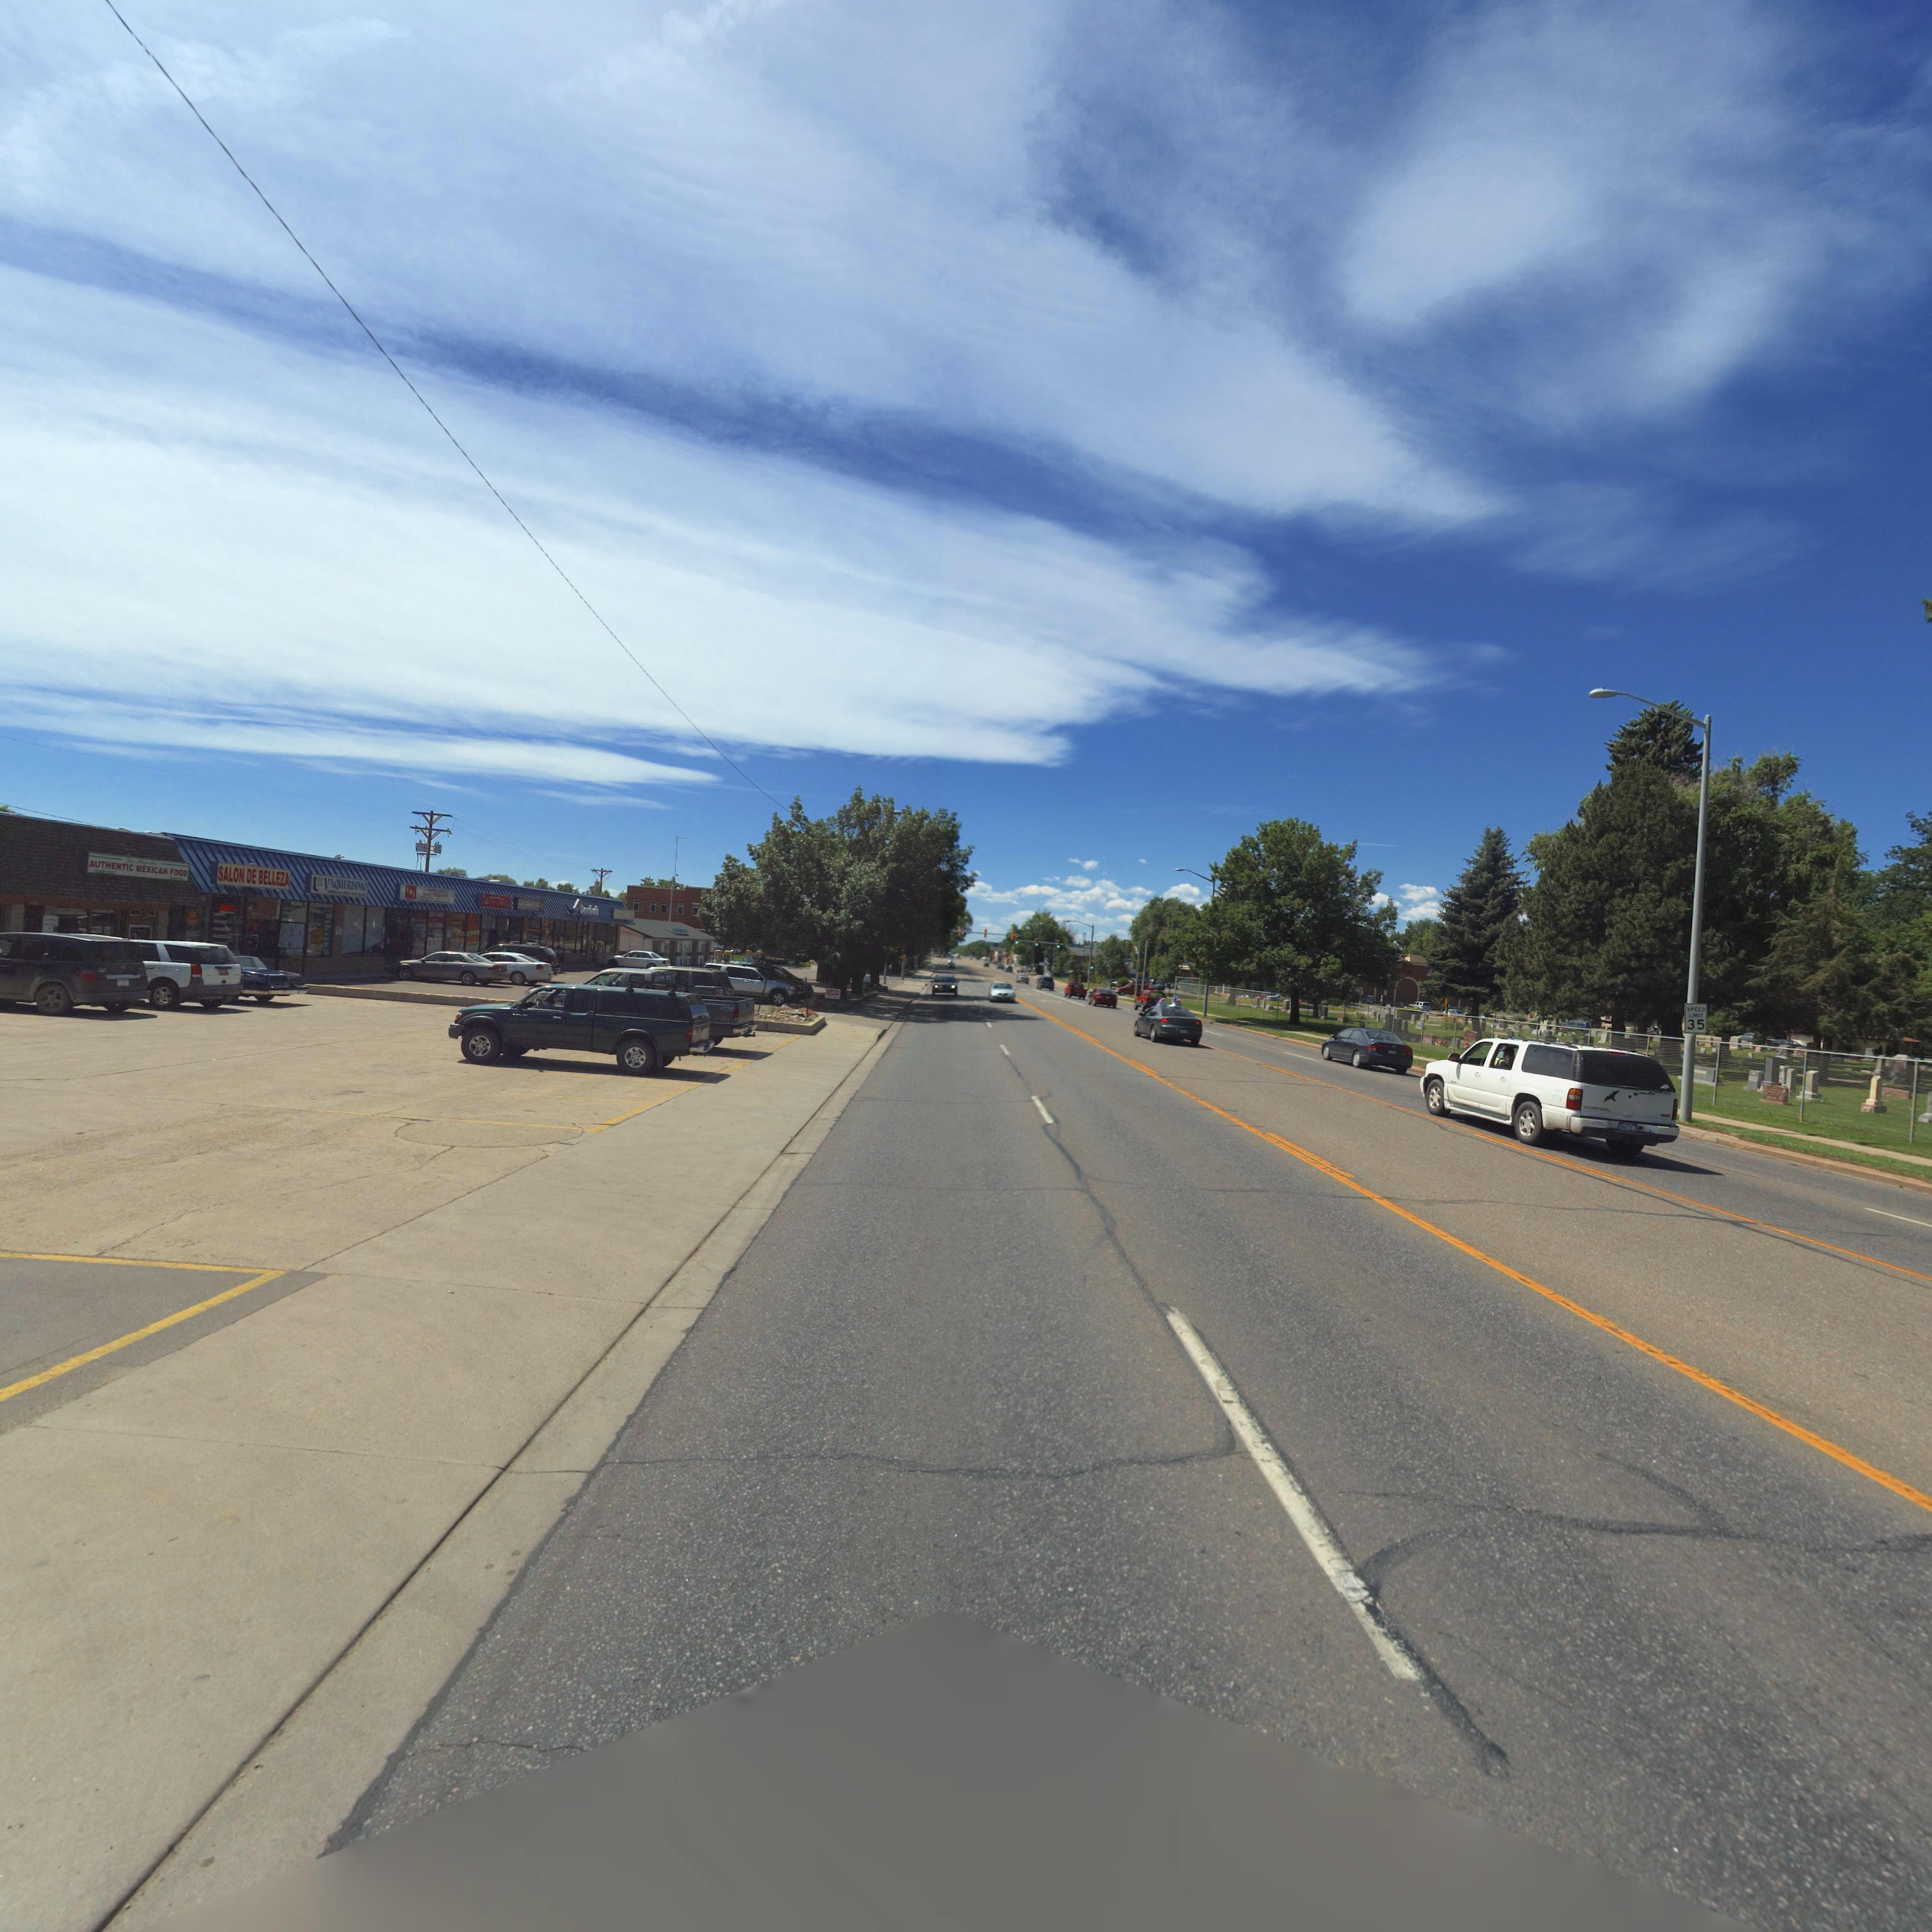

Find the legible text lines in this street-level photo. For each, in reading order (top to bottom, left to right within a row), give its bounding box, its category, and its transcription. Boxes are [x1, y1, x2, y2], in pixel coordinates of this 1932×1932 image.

[88, 860, 187, 877] BusinessName: AUTHENTIC MEXOCAN FOOD
[218, 865, 290, 887] BusinessName: SALON DE BELLEZA
[317, 876, 367, 891] BusinessName: *LVAQUERISIMO
[406, 886, 415, 898] BusinessName: LBS
[484, 898, 507, 905] BusinessName: G*****
[580, 905, 599, 915] BusinessName: D******